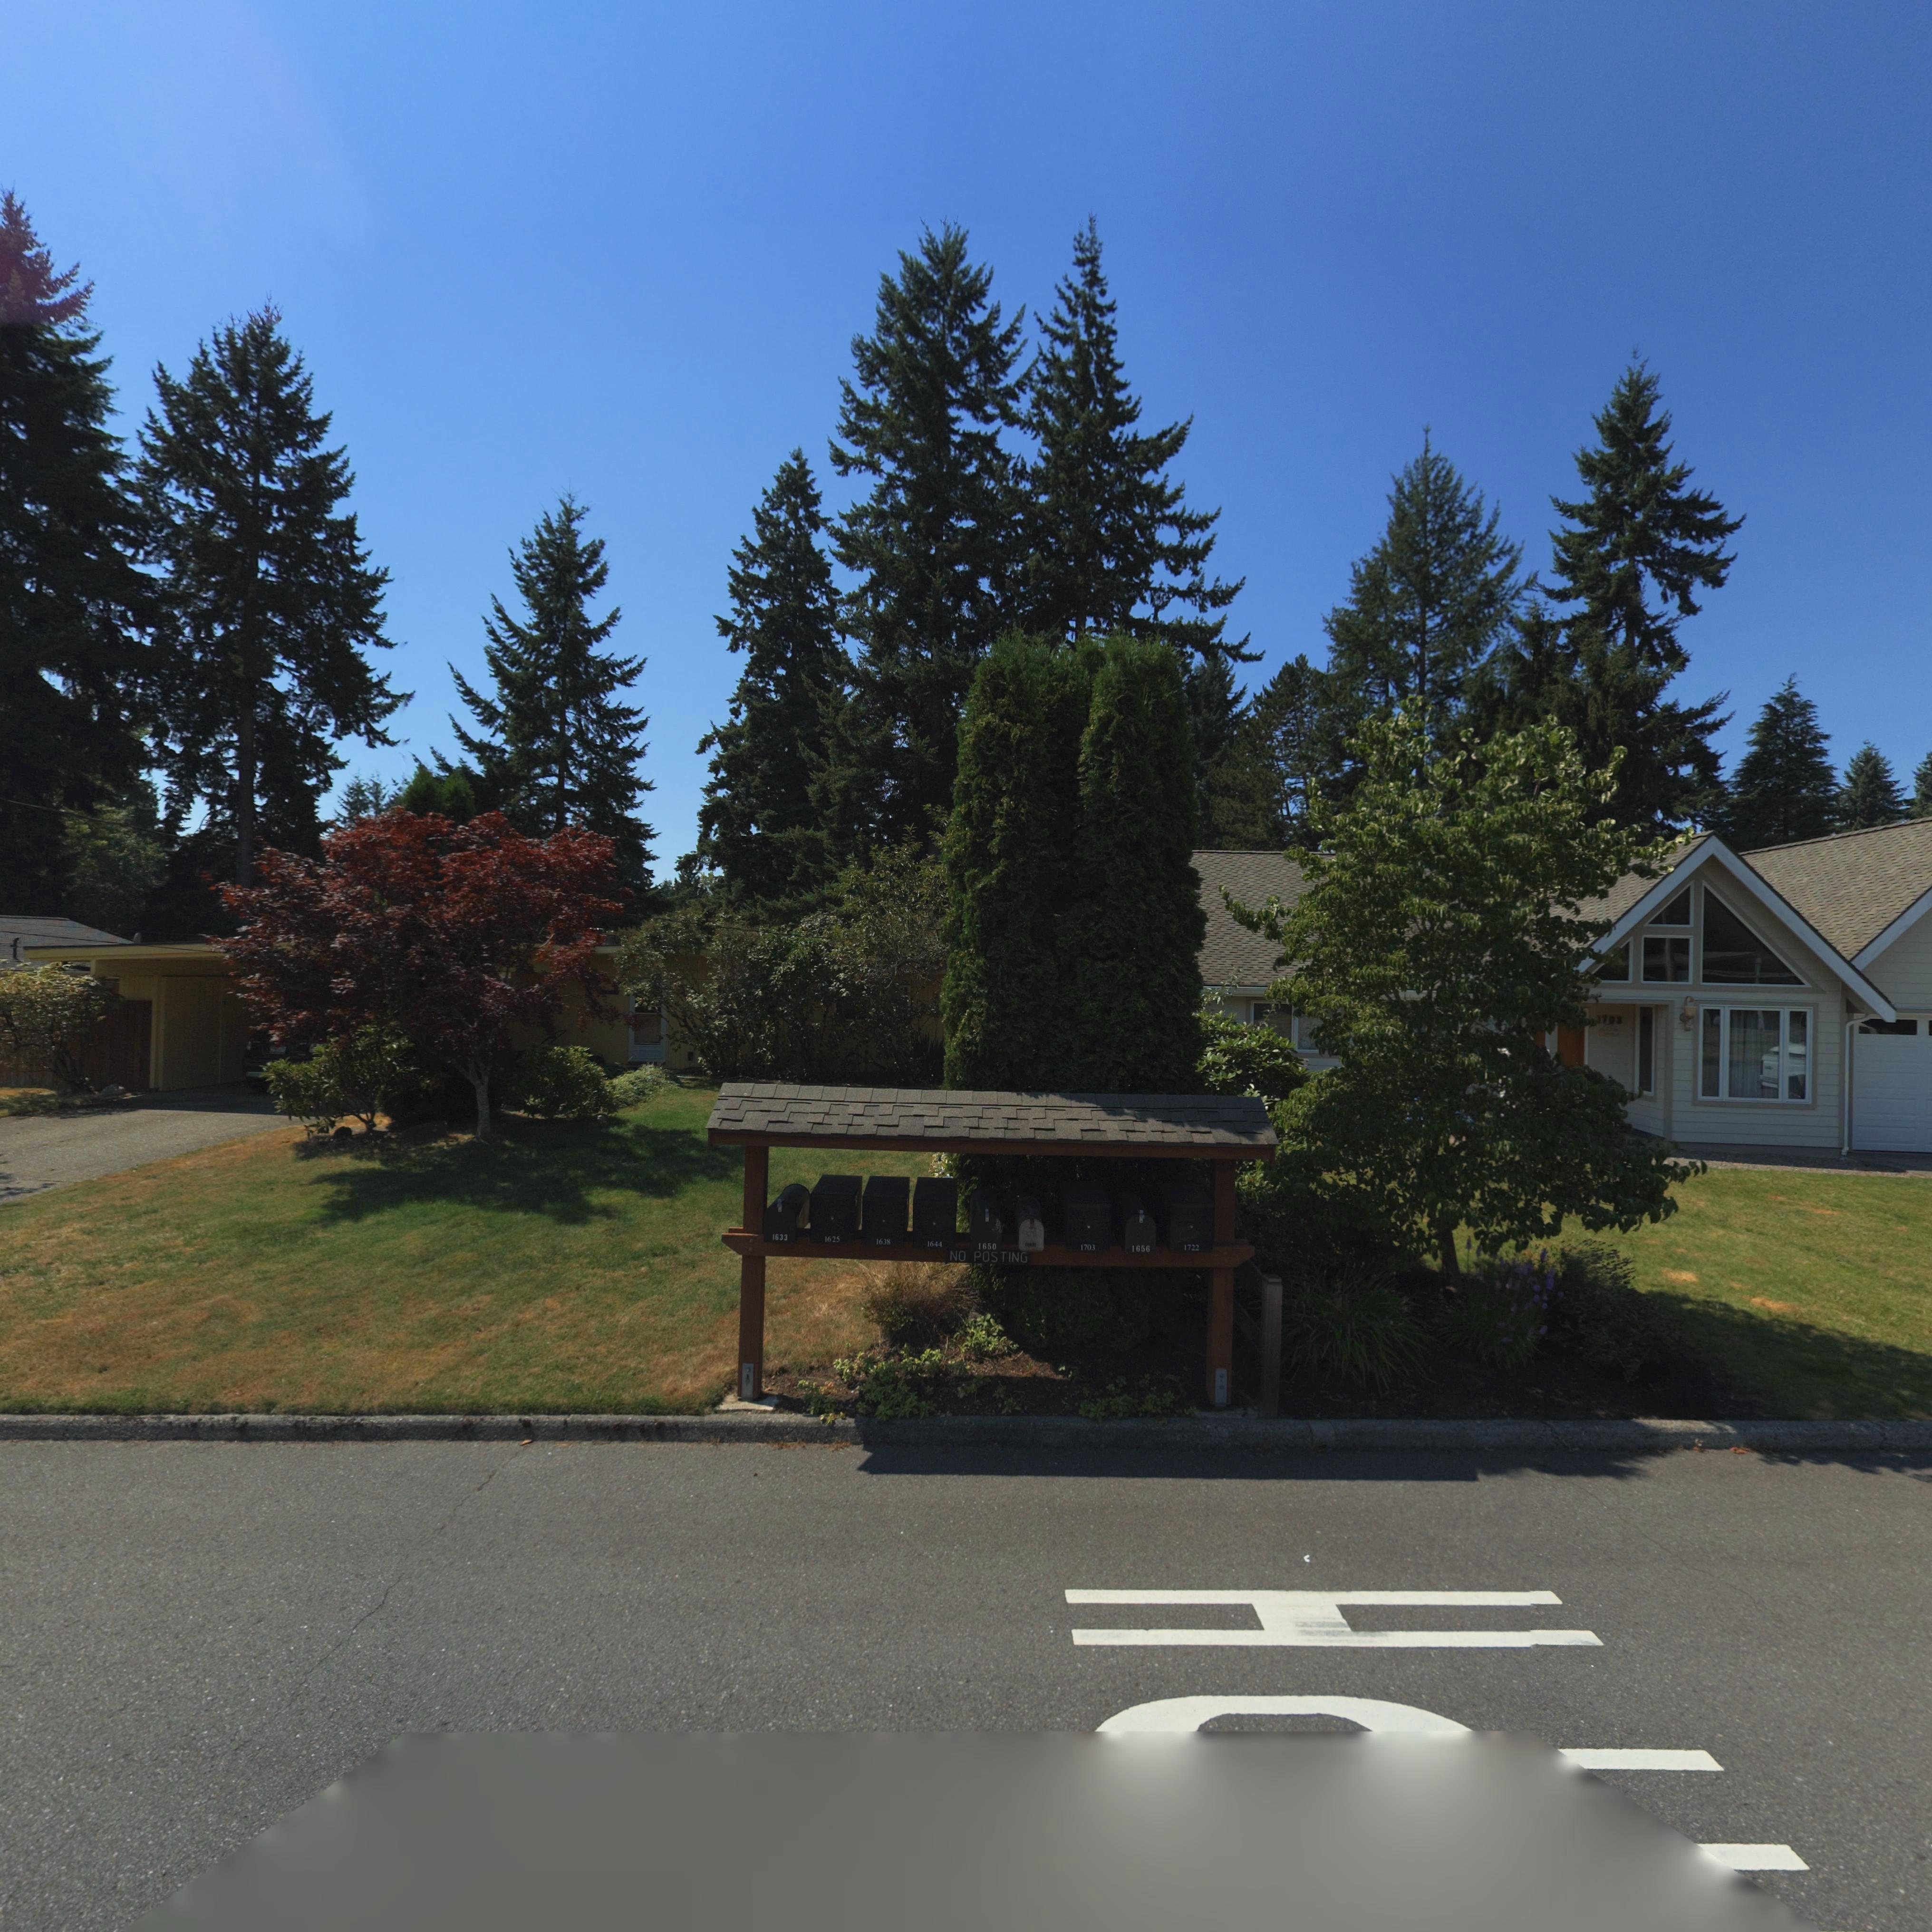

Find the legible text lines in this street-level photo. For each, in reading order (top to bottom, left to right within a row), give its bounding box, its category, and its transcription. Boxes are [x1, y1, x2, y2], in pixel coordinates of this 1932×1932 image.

[772, 1233, 788, 1242] StreetNumber: 1633
[825, 1235, 840, 1243] StreetNumber: 1625
[875, 1237, 890, 1245] StreetNumber: 1638
[927, 1240, 942, 1248] StreetNumber: 1644
[977, 1242, 997, 1249] StreetNumber: 1650
[1081, 1244, 1095, 1251] StreetNumber: 1703
[1130, 1244, 1151, 1253] StreetNumber: 1656
[1183, 1243, 1200, 1253] StreetNumber: 1722